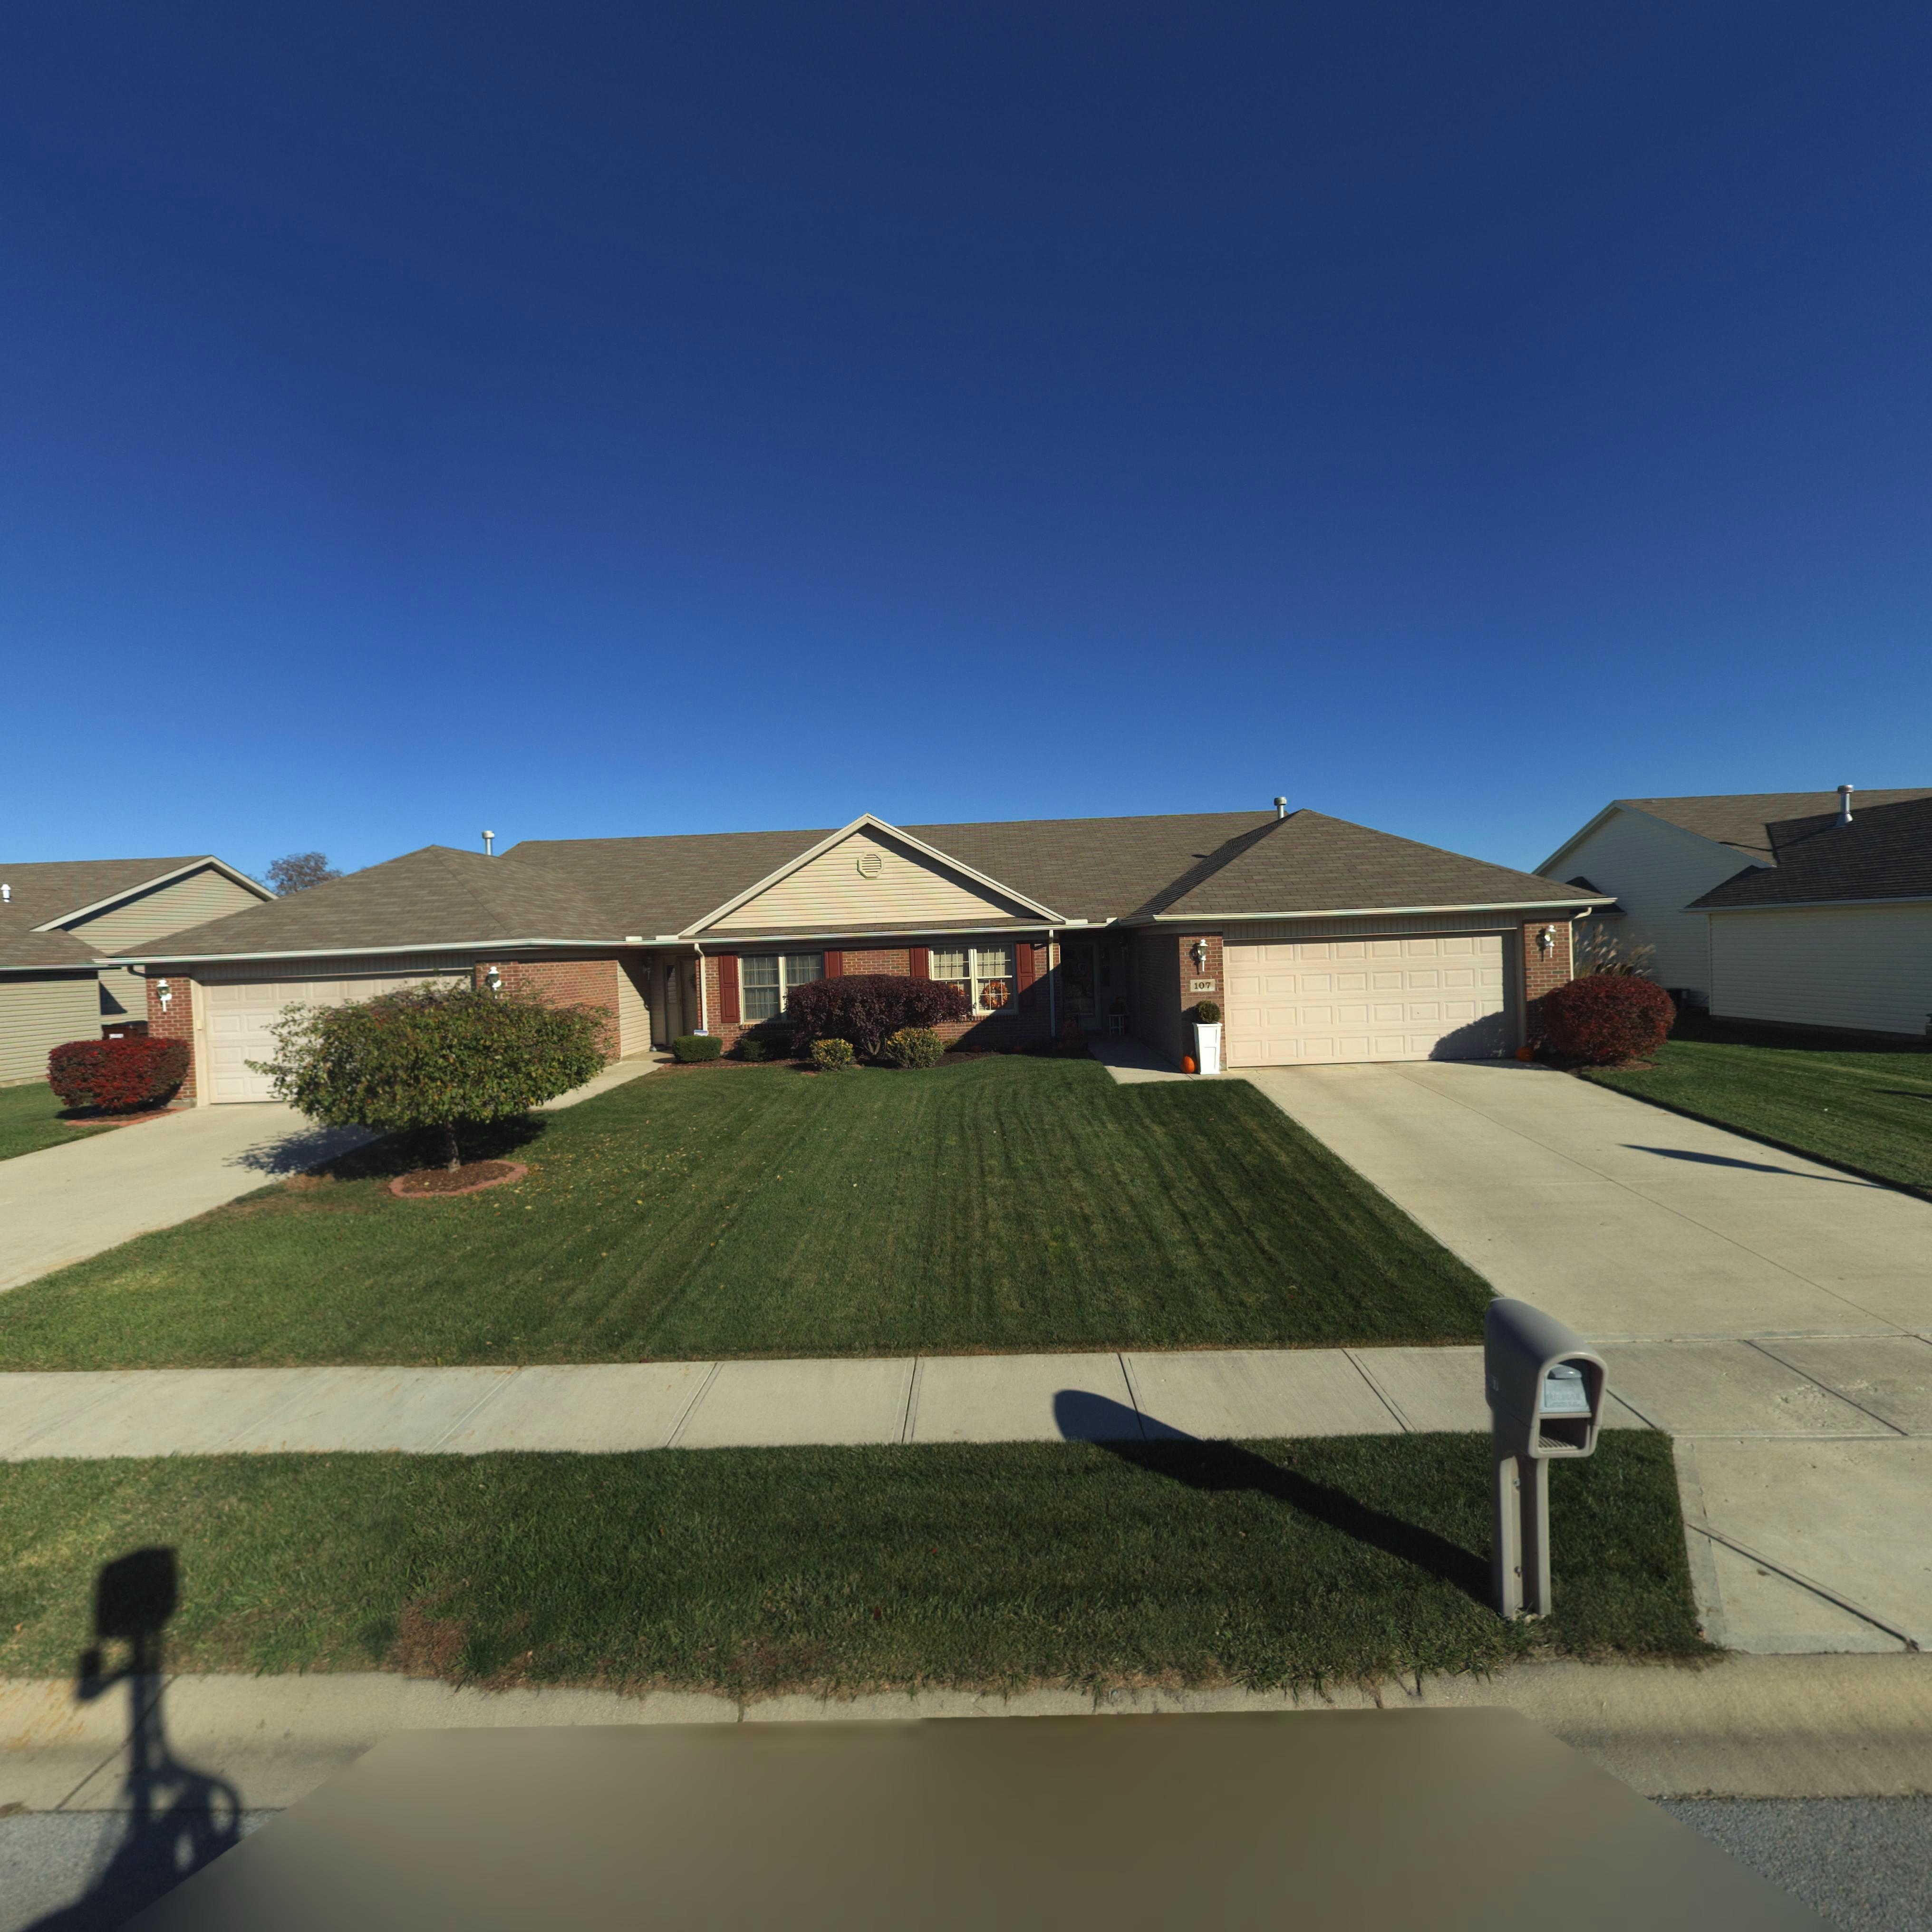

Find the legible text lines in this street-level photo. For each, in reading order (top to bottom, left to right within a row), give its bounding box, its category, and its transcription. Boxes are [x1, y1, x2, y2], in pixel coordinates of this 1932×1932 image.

[1193, 980, 1212, 990] StreetNumber: 107\